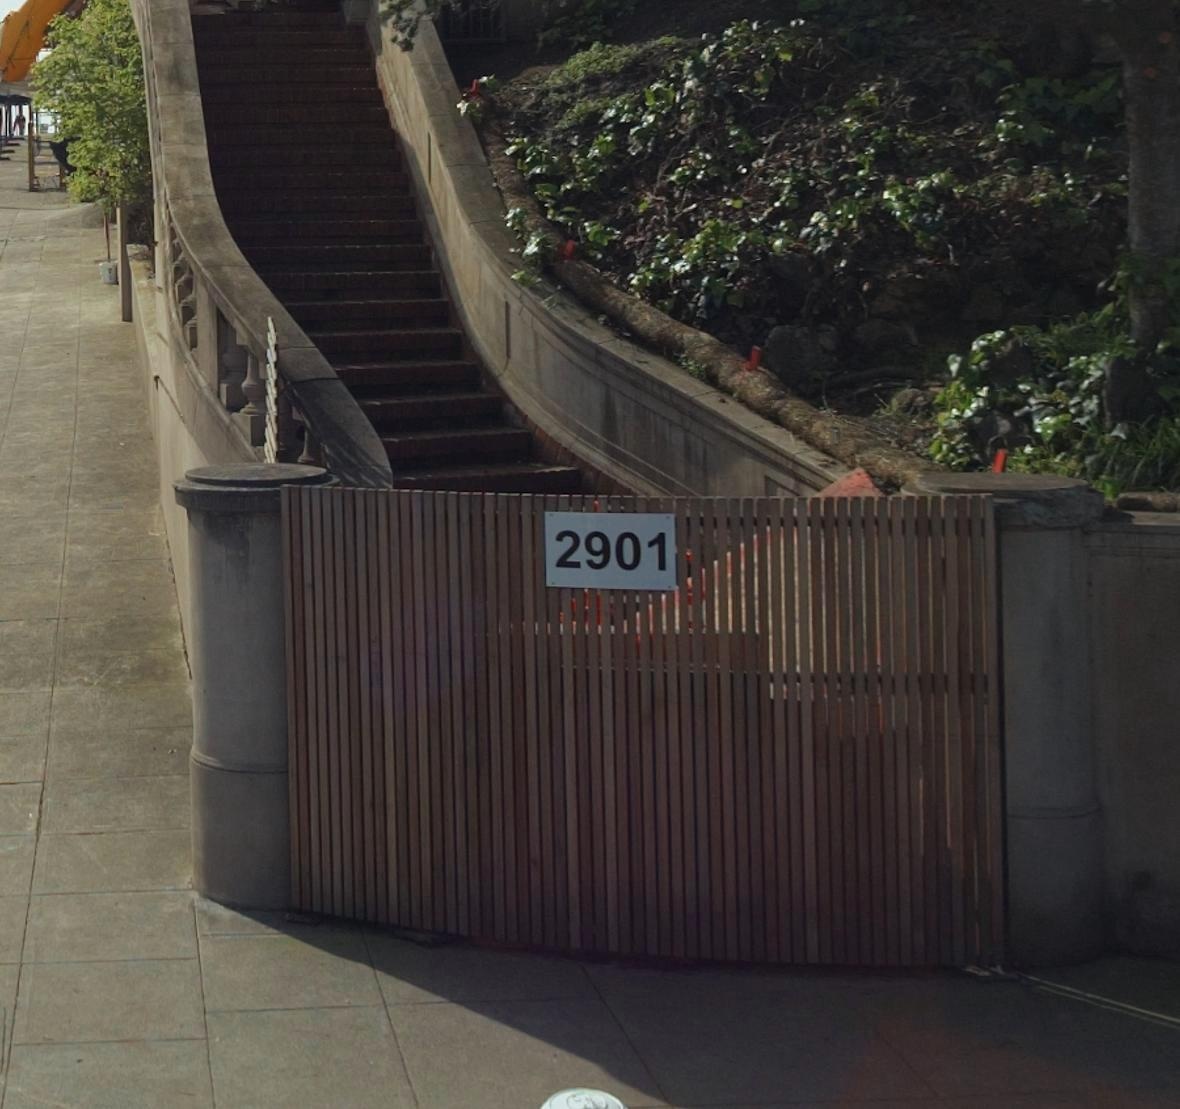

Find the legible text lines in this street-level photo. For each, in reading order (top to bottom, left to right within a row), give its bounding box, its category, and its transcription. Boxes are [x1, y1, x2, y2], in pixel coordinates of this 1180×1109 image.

[550, 525, 672, 575] StreetNumber: 2901